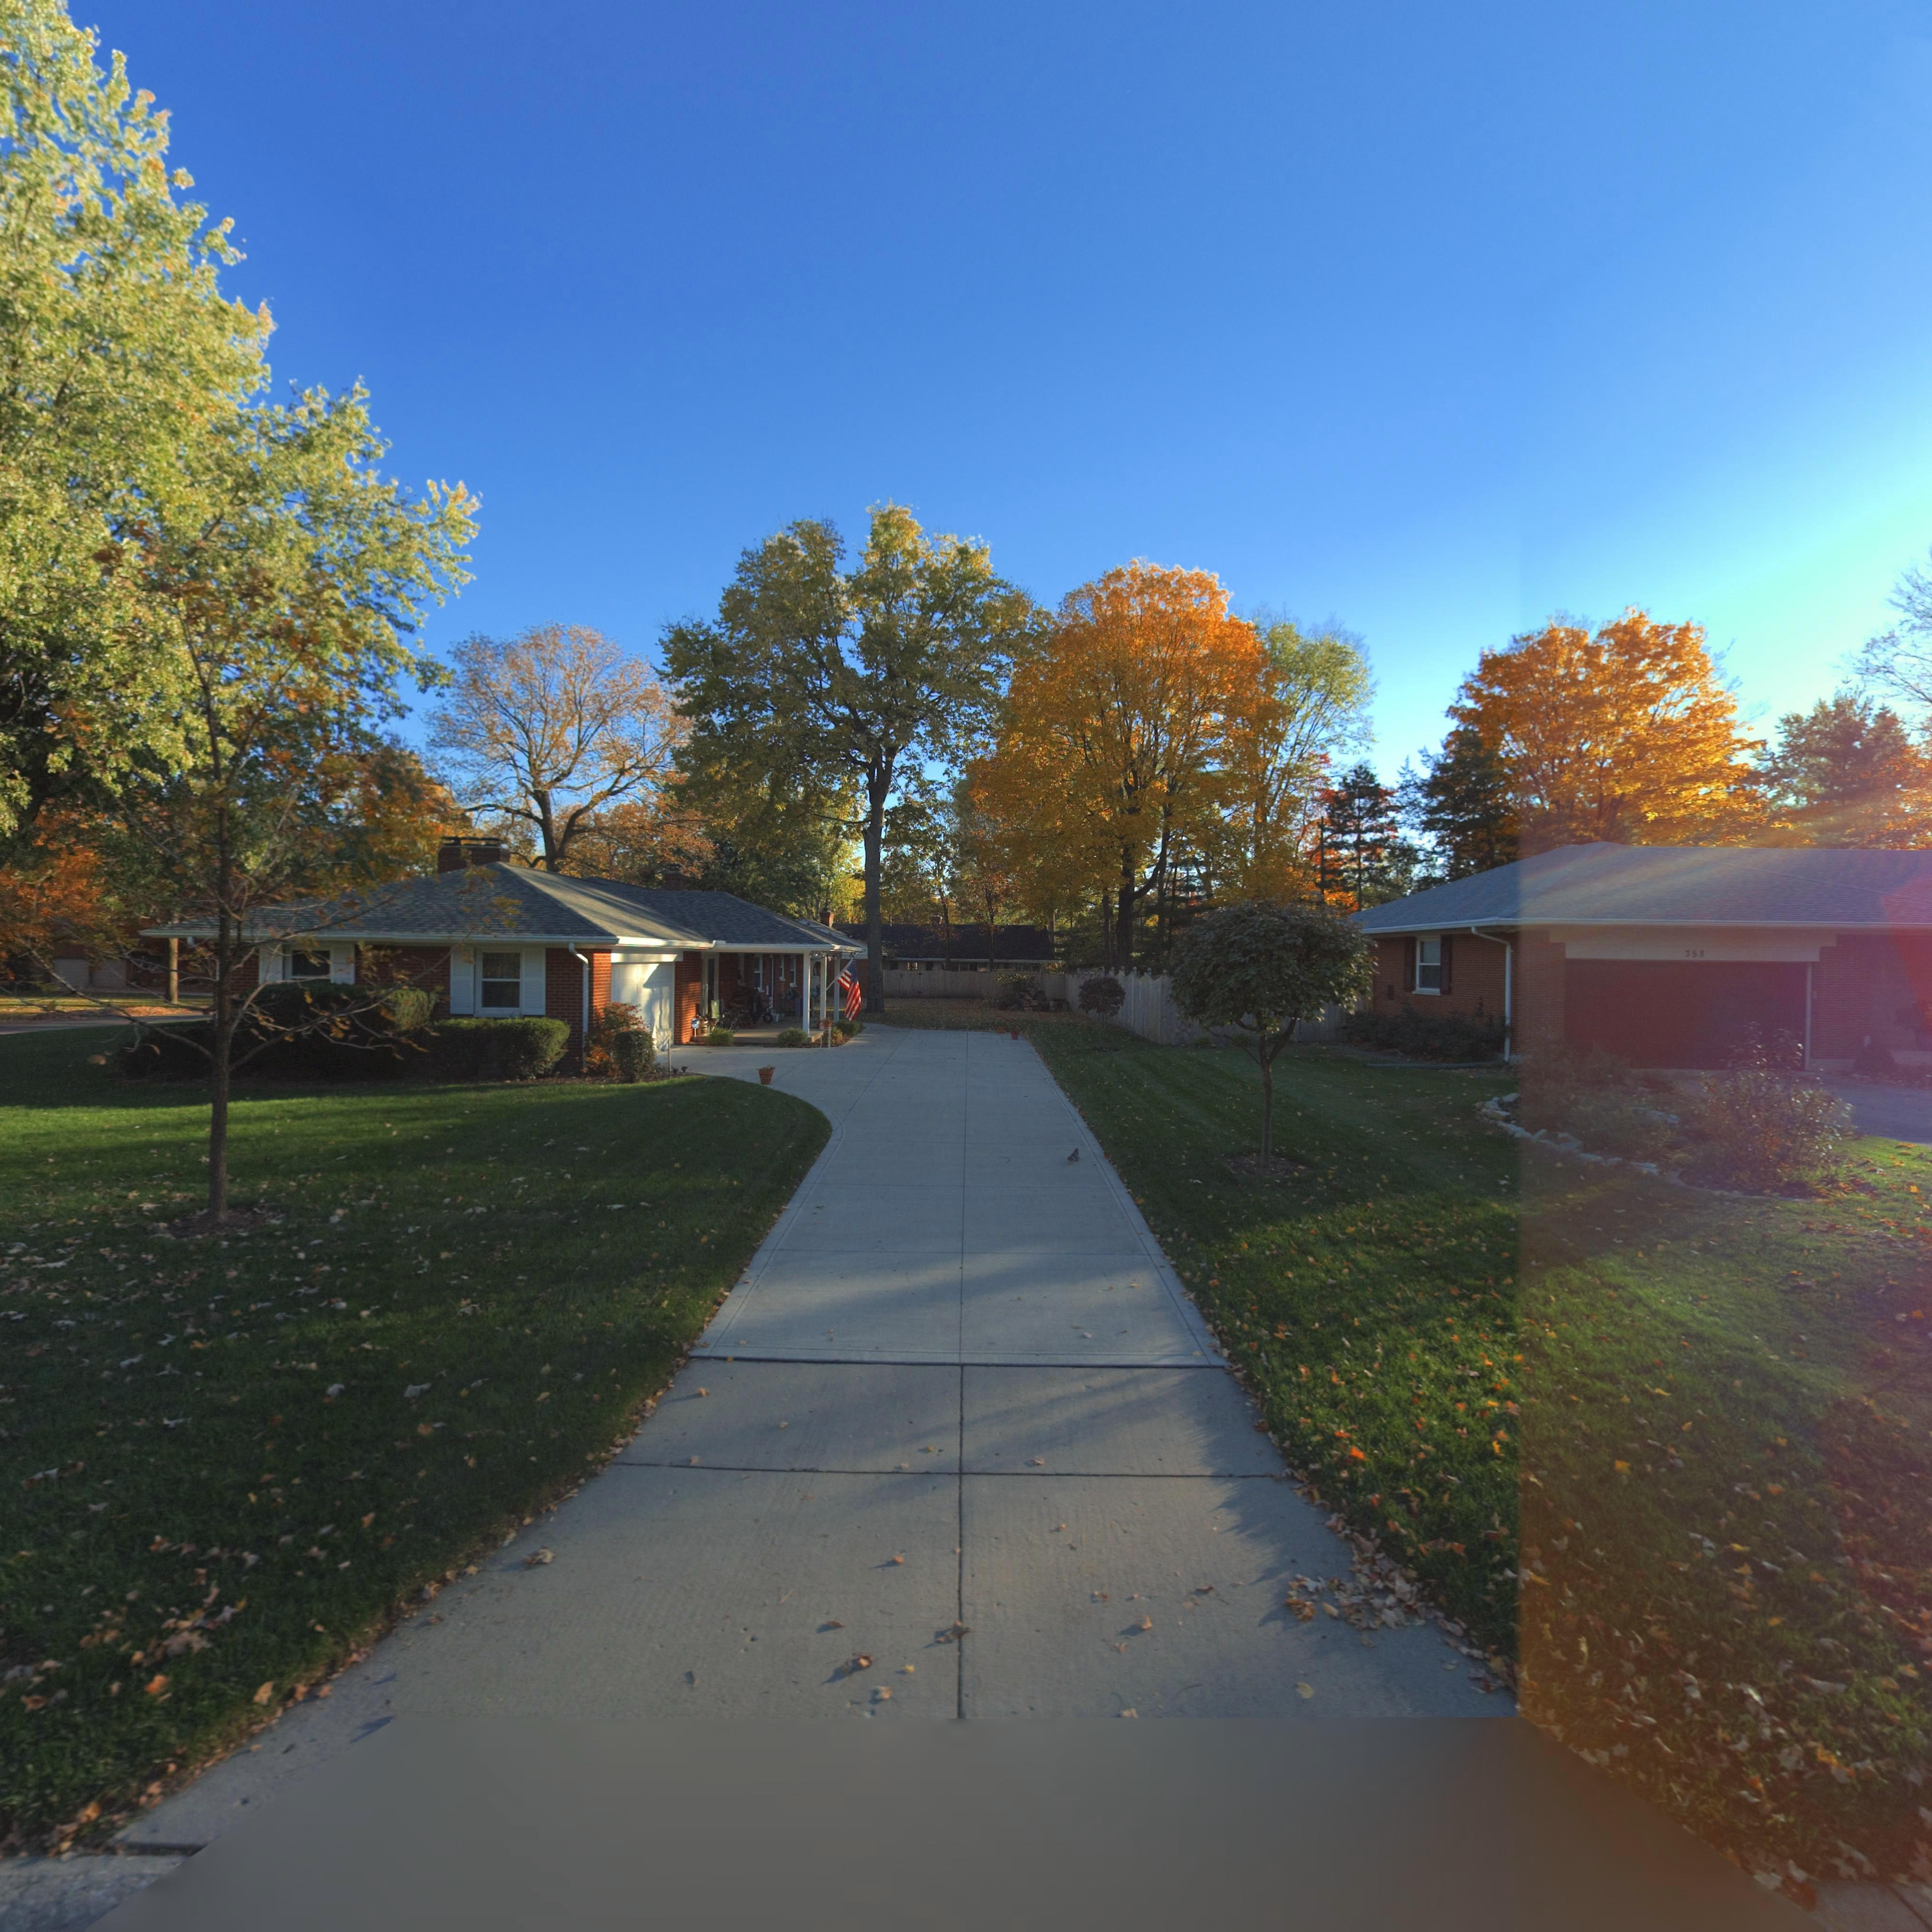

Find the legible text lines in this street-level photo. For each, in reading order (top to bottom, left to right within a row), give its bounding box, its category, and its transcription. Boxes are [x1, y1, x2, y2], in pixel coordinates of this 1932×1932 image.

[1683, 948, 1705, 958] StreetNumber: 358